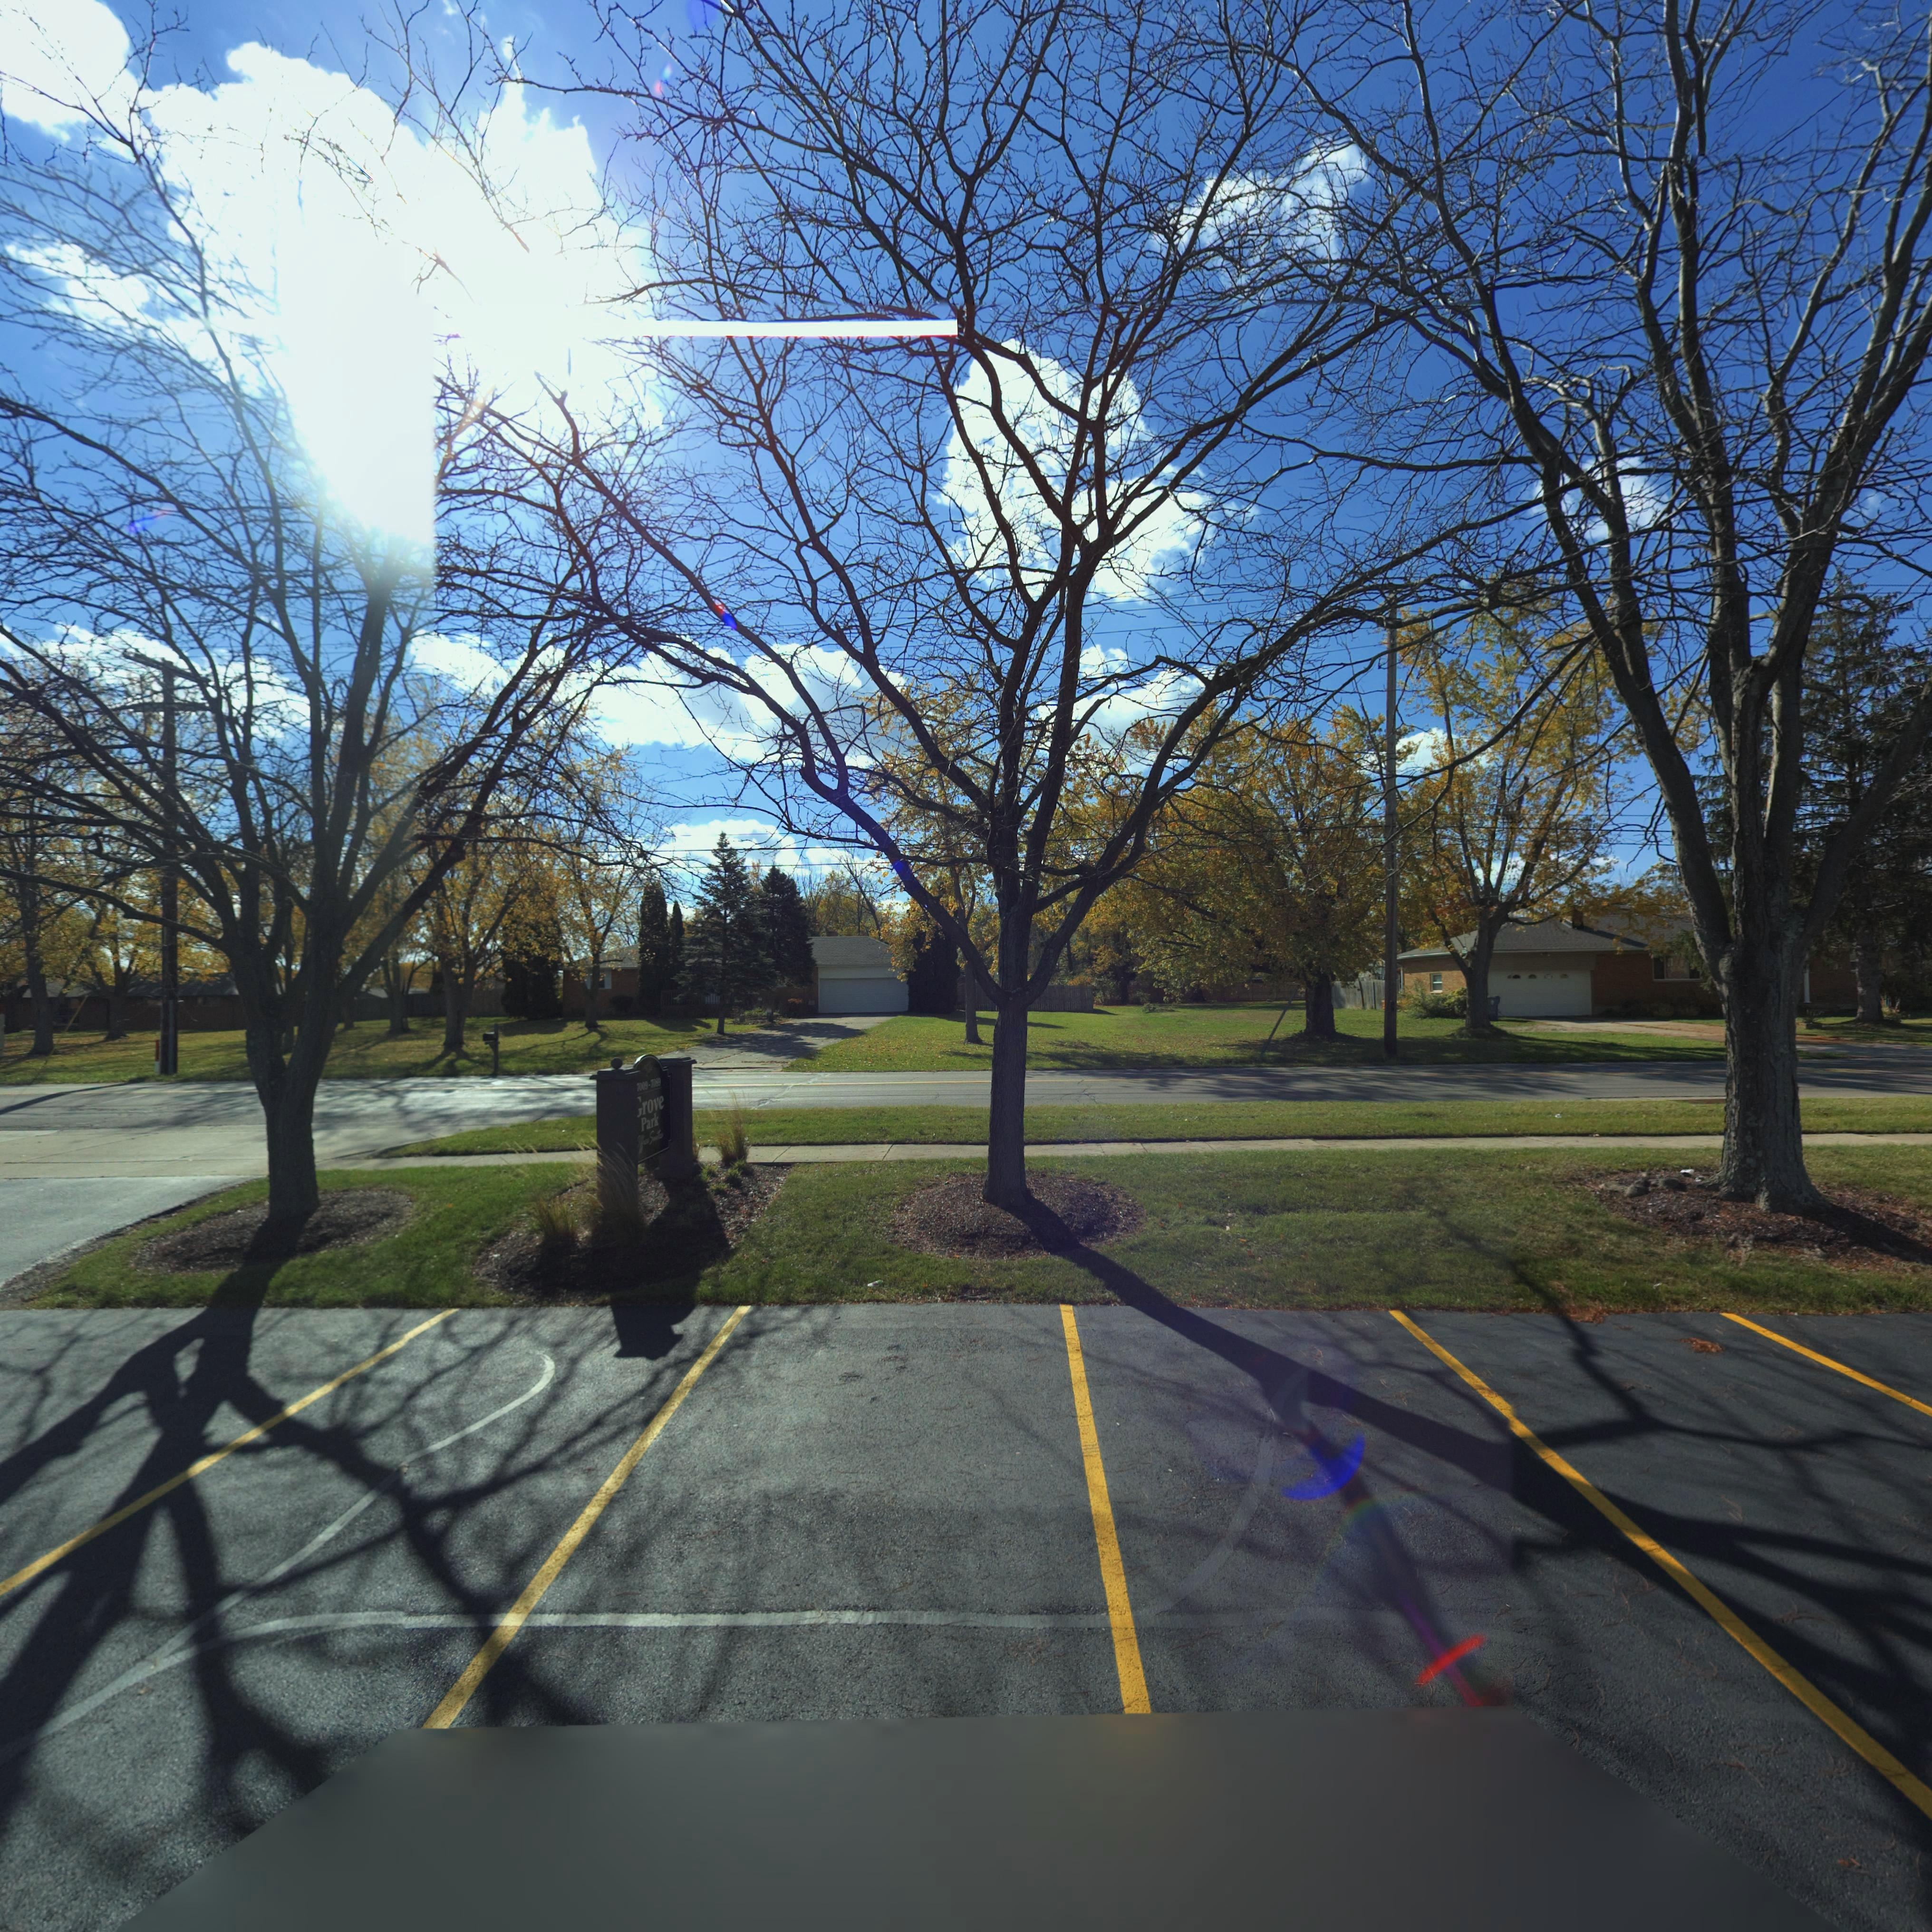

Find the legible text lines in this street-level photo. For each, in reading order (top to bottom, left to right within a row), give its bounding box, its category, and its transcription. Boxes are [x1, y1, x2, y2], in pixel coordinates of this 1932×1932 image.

[635, 1080, 649, 1094] StreetNumber: *009
[649, 1076, 662, 1090] StreetNumber: 7**9